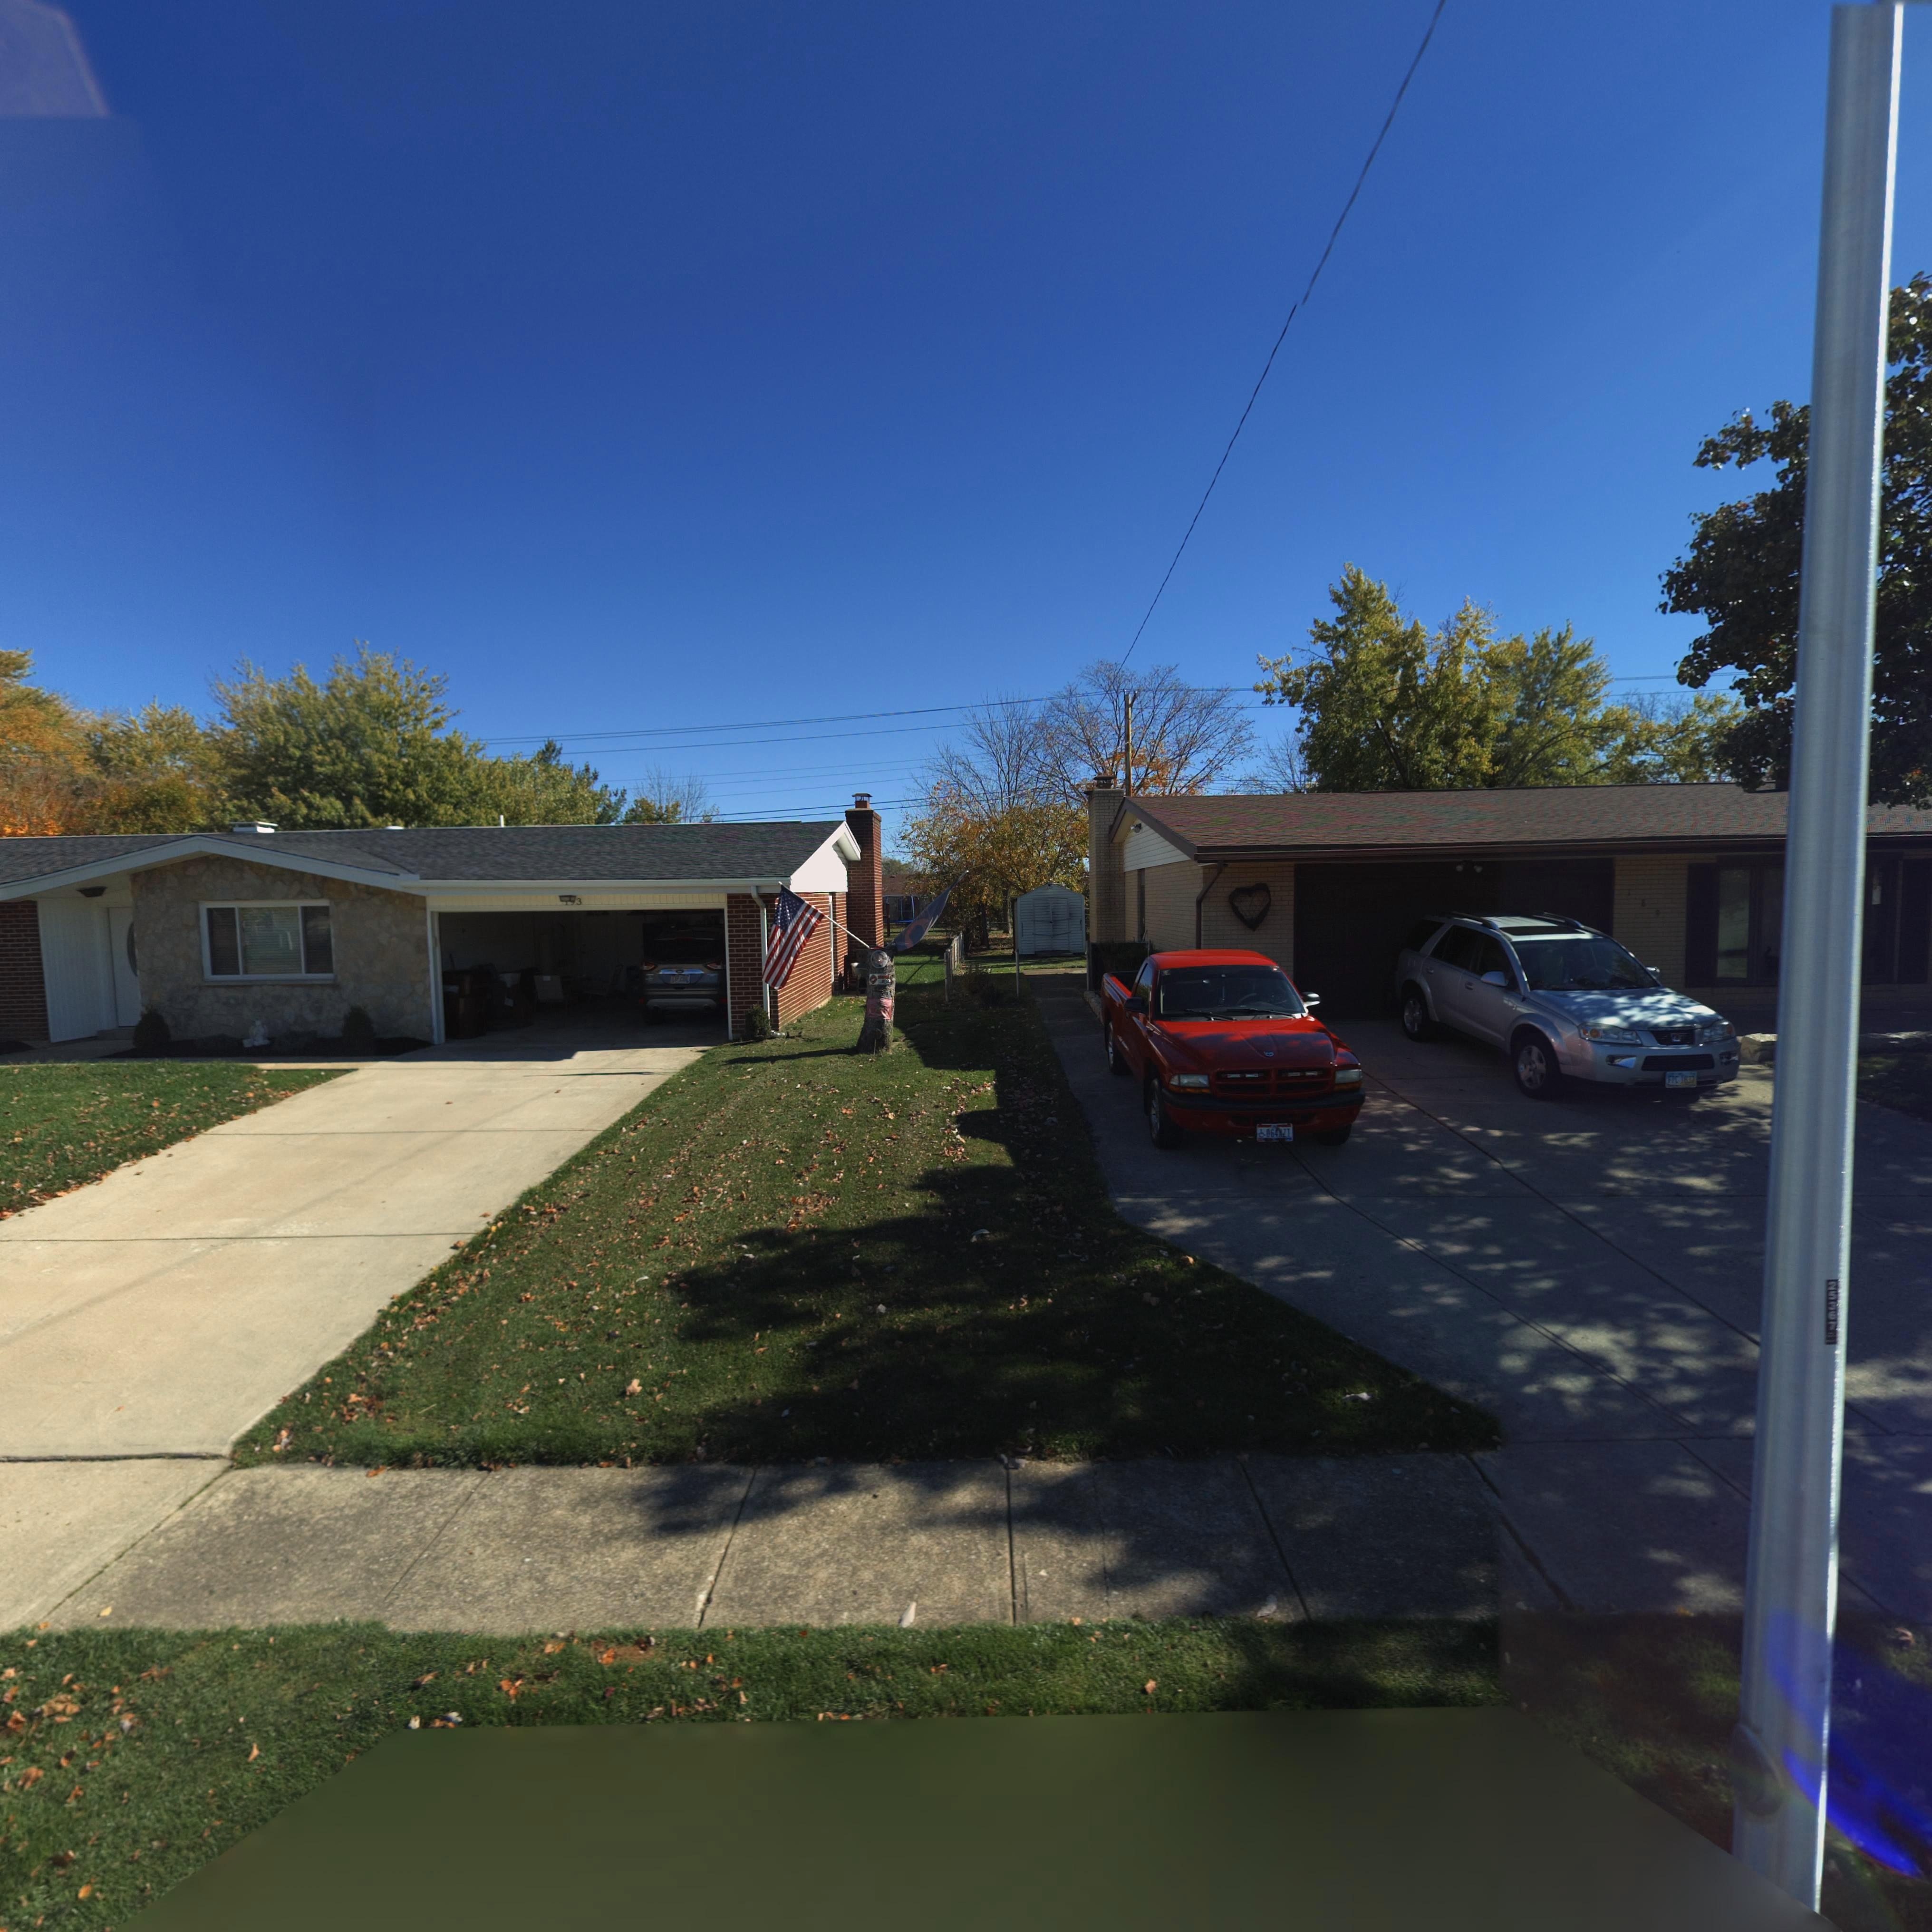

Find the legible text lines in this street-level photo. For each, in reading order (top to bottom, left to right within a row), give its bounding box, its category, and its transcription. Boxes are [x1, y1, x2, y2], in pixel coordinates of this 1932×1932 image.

[575, 896, 583, 907] StreetNumber: 3
[1626, 888, 1662, 919] StreetNumber: 189